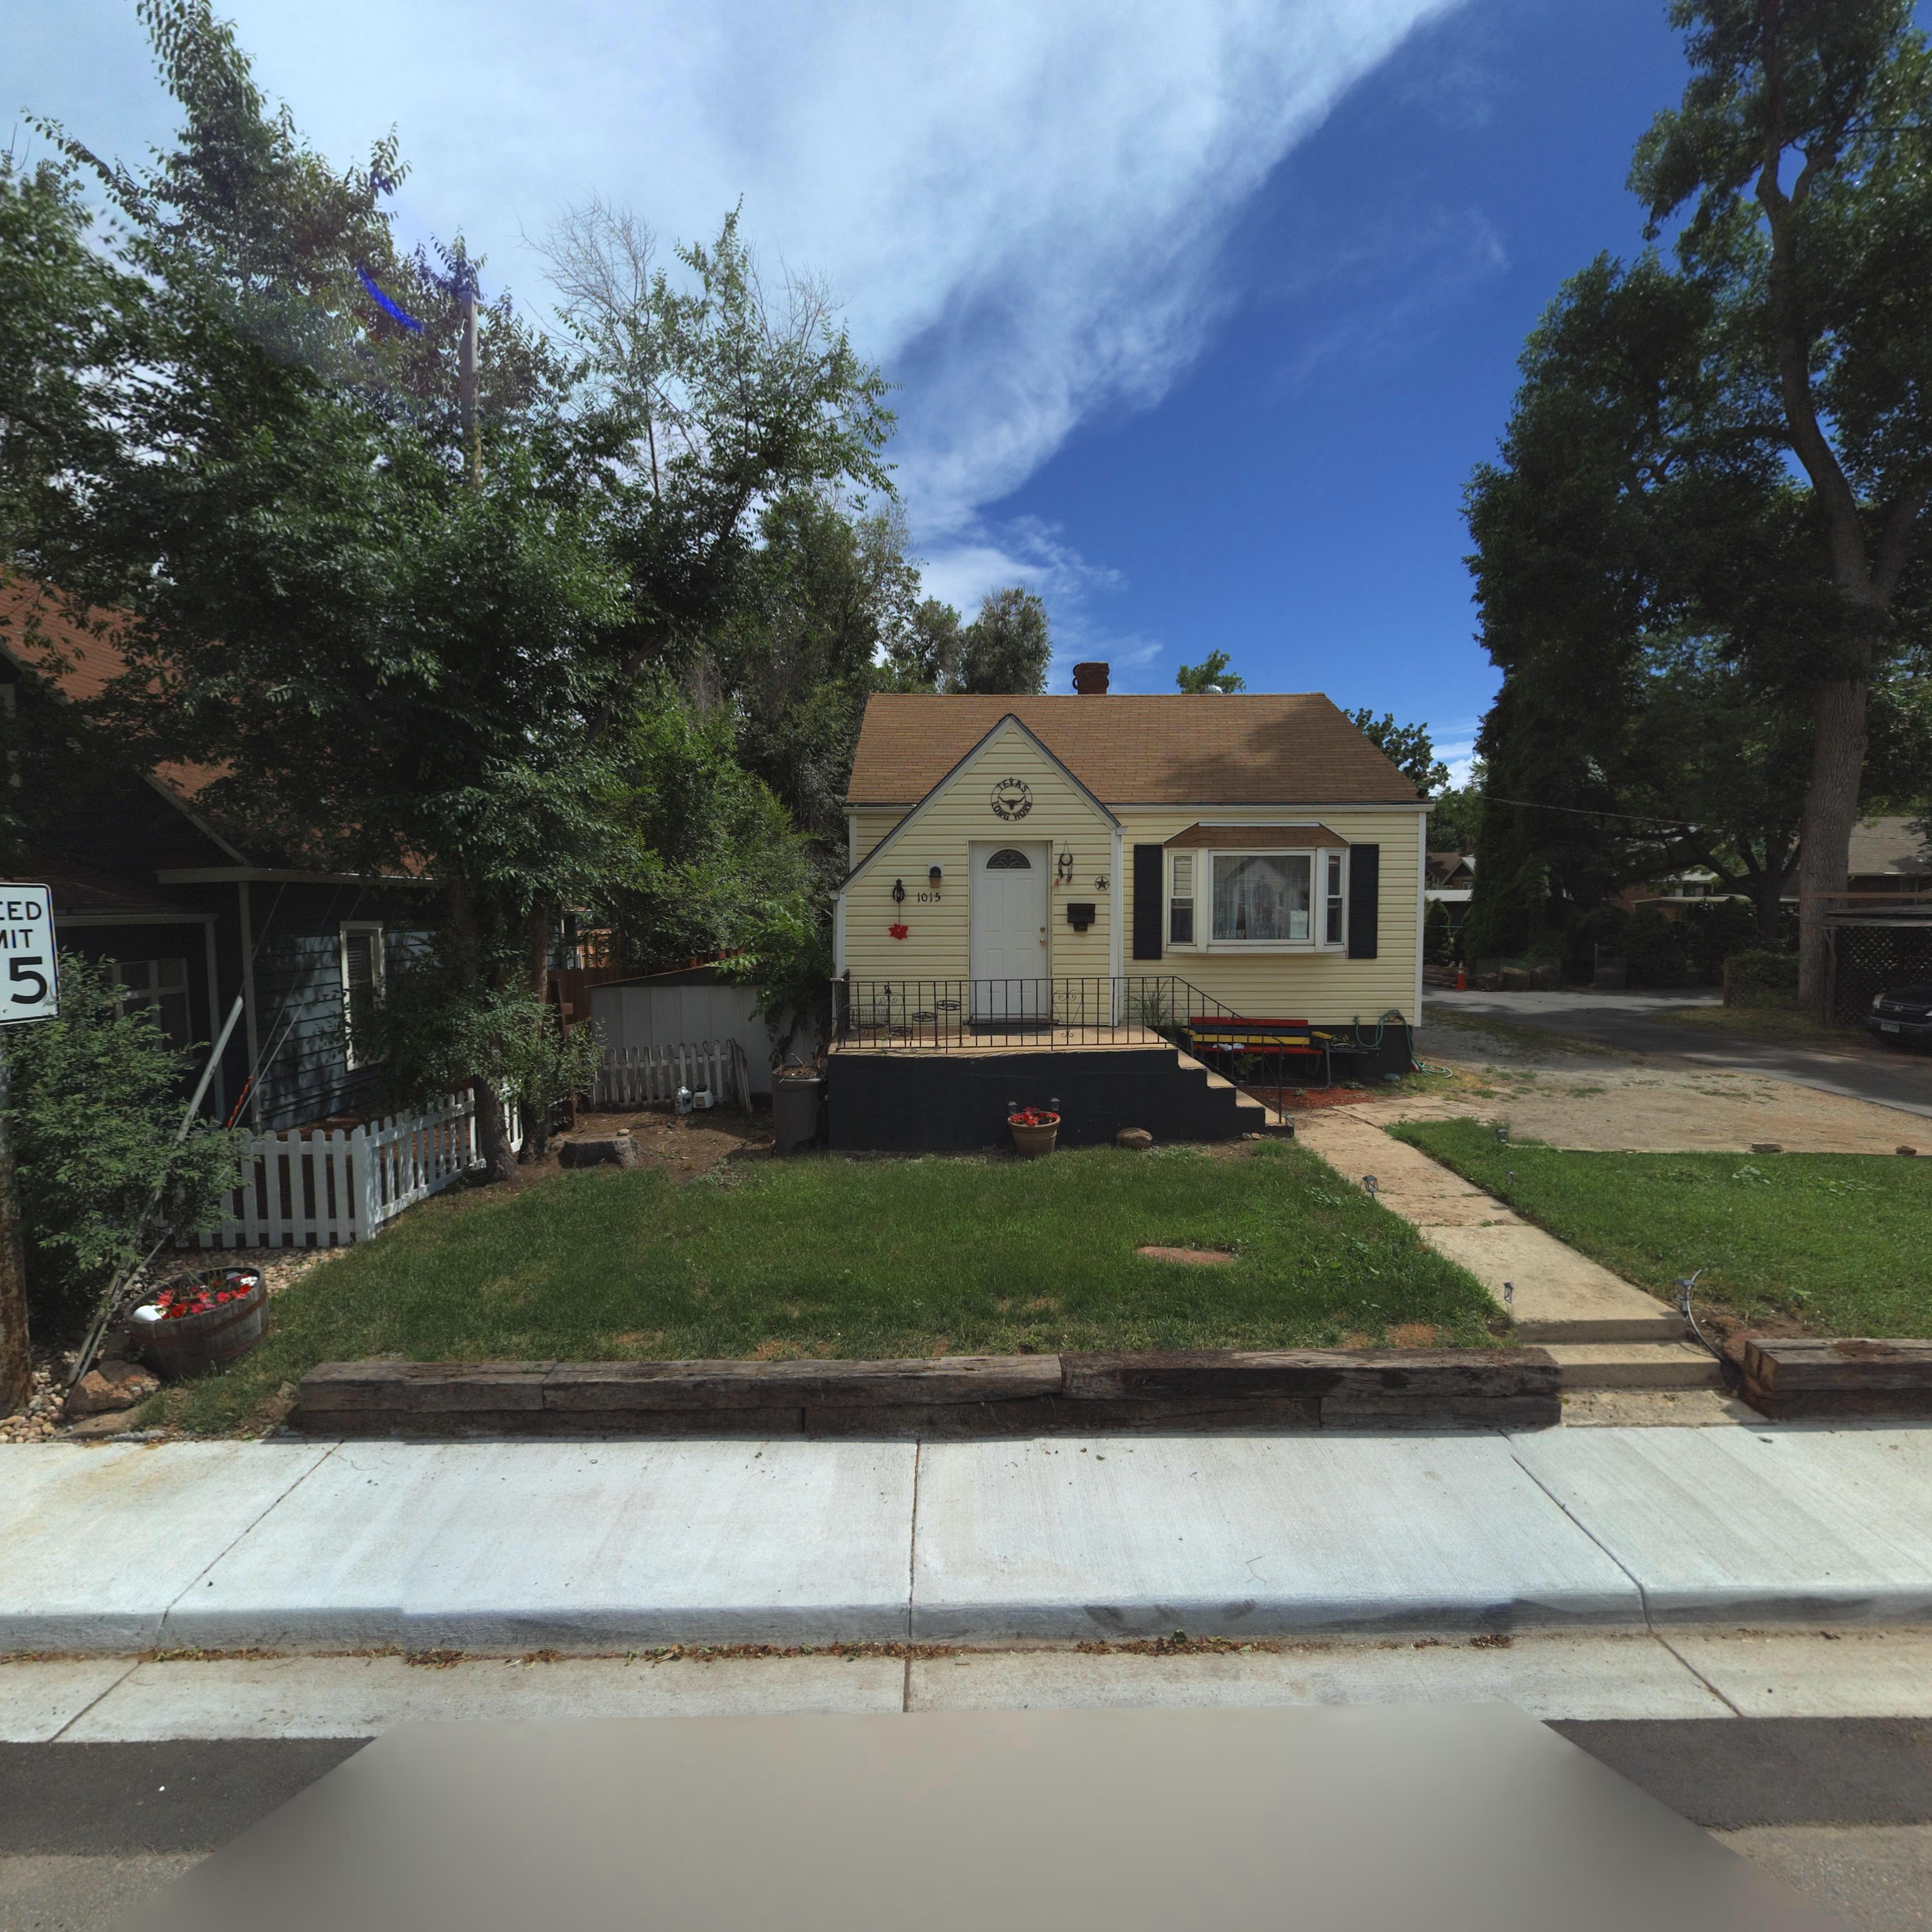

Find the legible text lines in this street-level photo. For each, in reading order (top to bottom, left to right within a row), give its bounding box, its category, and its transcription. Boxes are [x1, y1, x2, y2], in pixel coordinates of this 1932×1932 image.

[917, 891, 941, 902] StreetNumber: 1015